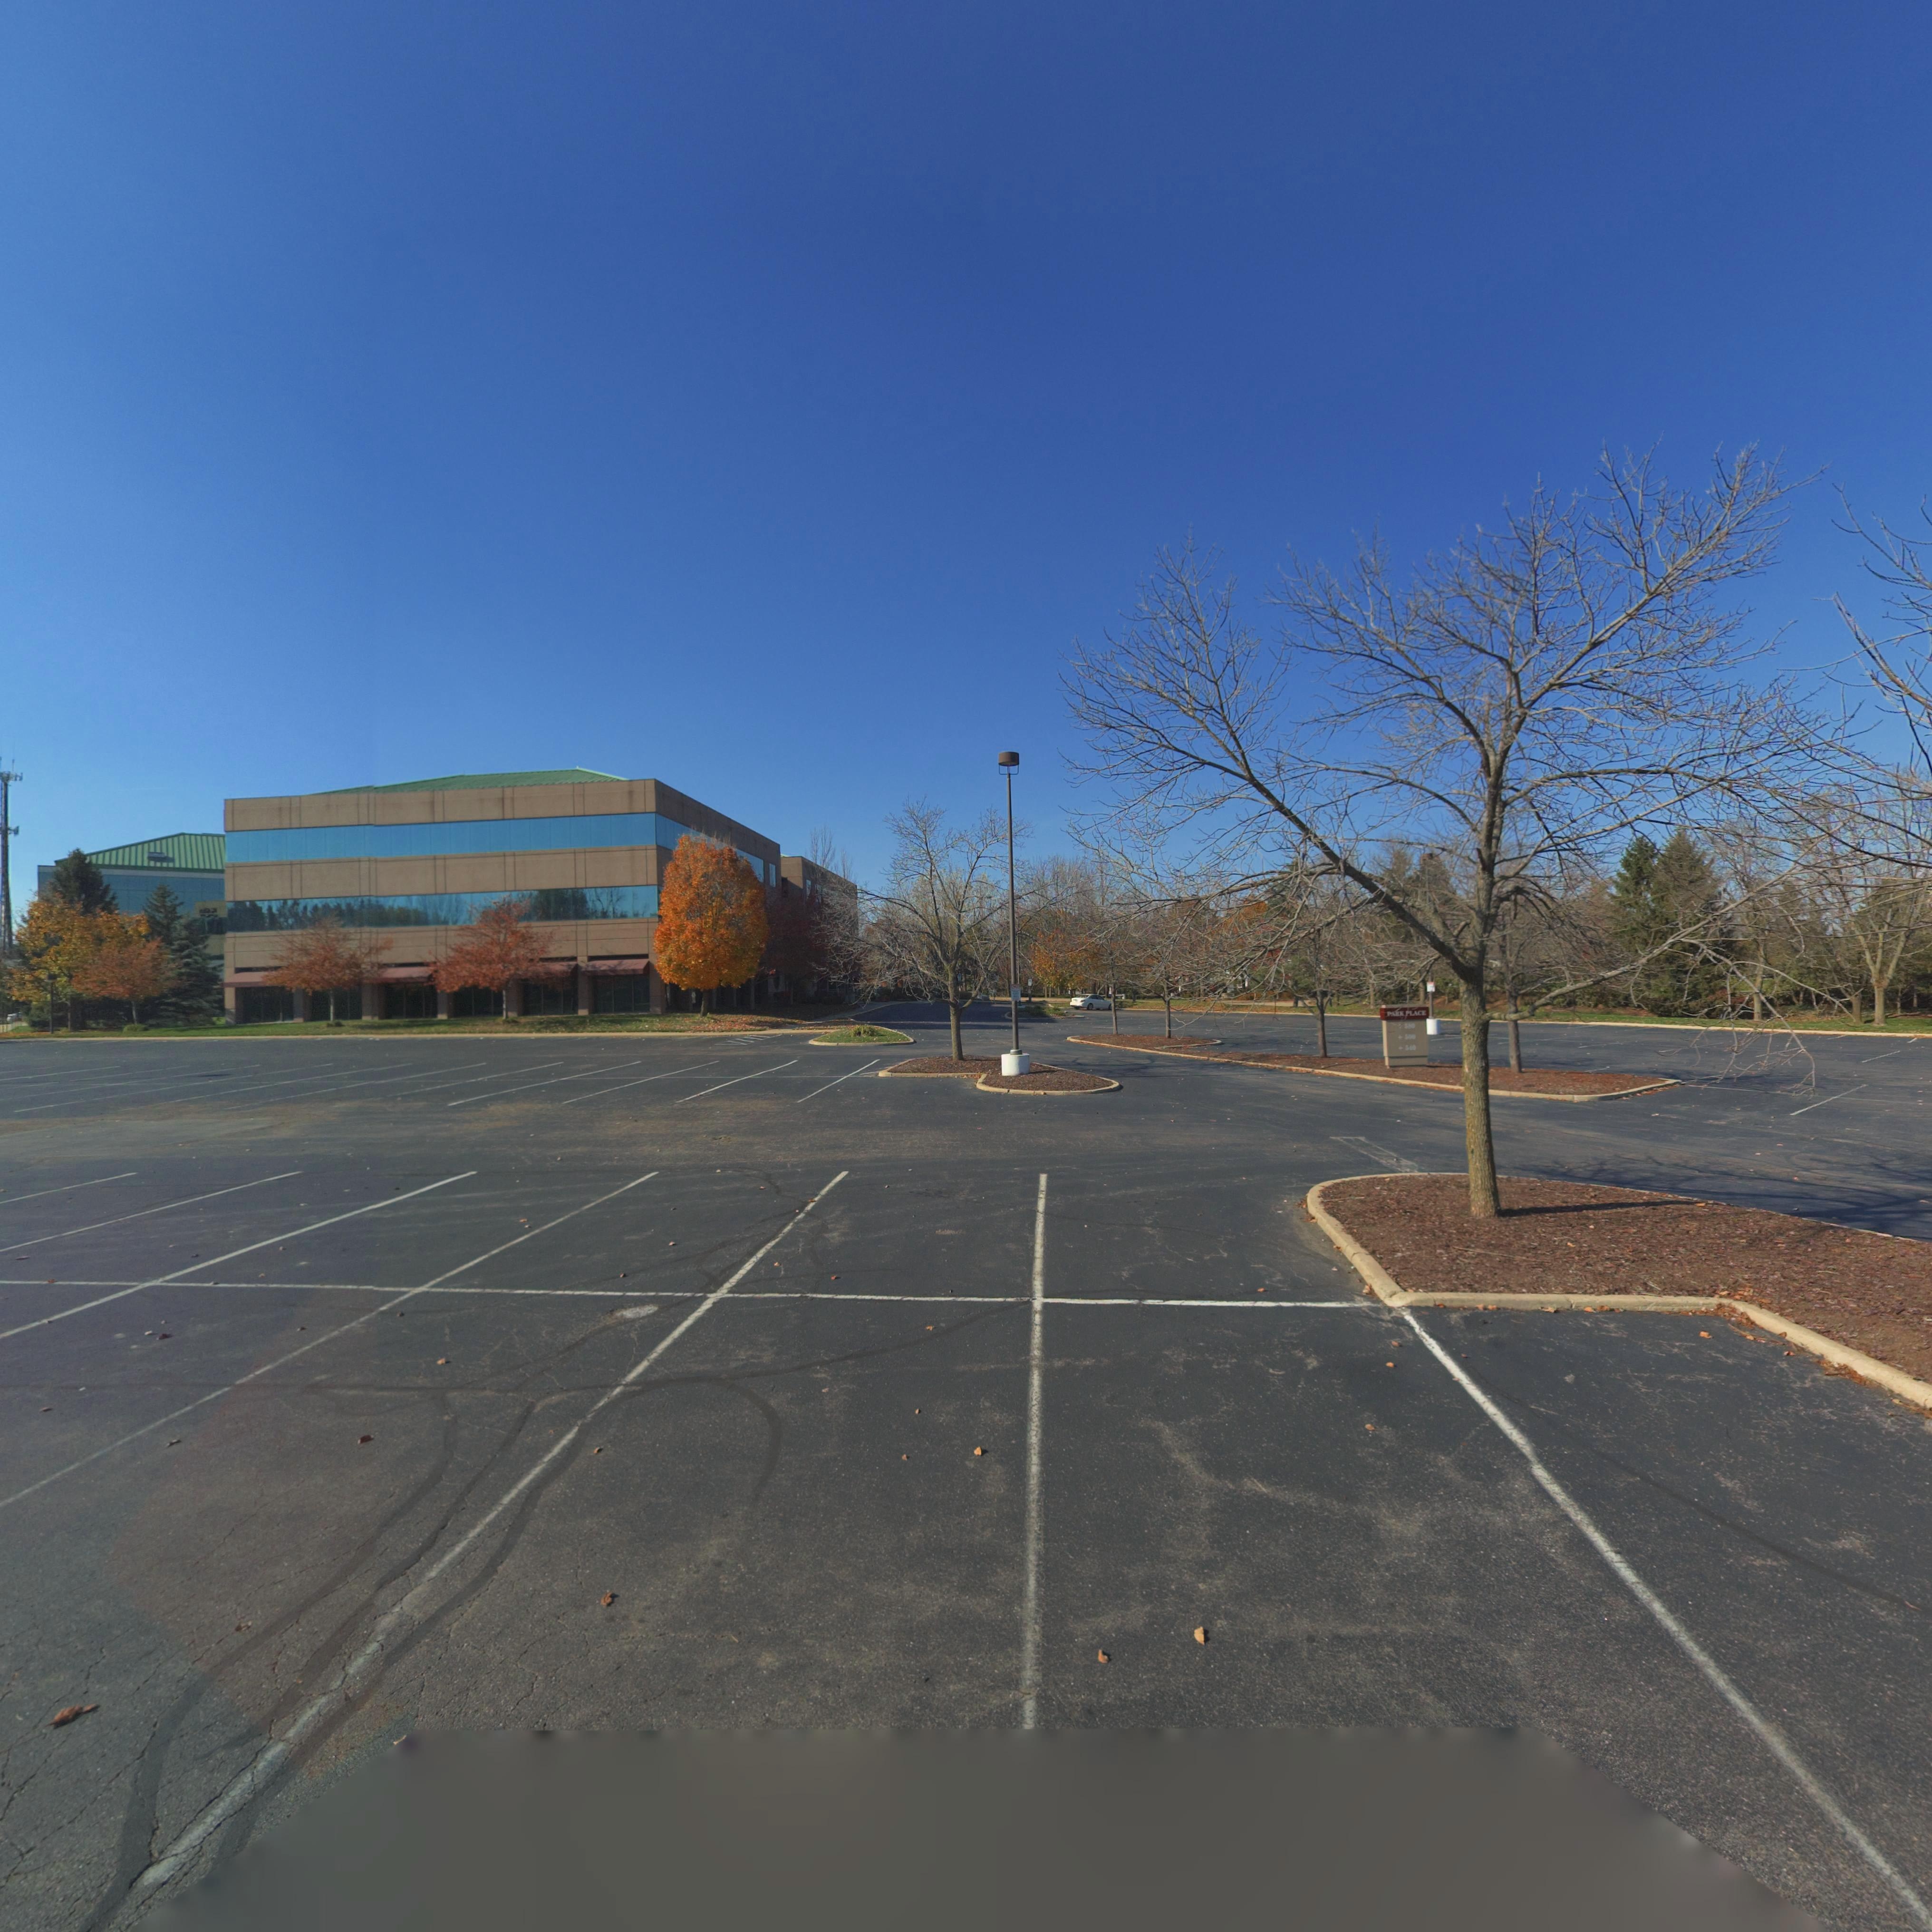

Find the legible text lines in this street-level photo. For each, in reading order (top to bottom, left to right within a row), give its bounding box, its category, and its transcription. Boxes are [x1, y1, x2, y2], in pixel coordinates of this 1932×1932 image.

[1386, 1010, 1426, 1017] None: PARK PLACE
[1404, 1023, 1416, 1029] StreetNumber: 580
[1404, 1034, 1417, 1040] StreetNumber: 500
[1404, 1044, 1417, 1051] StreetNumber: 540